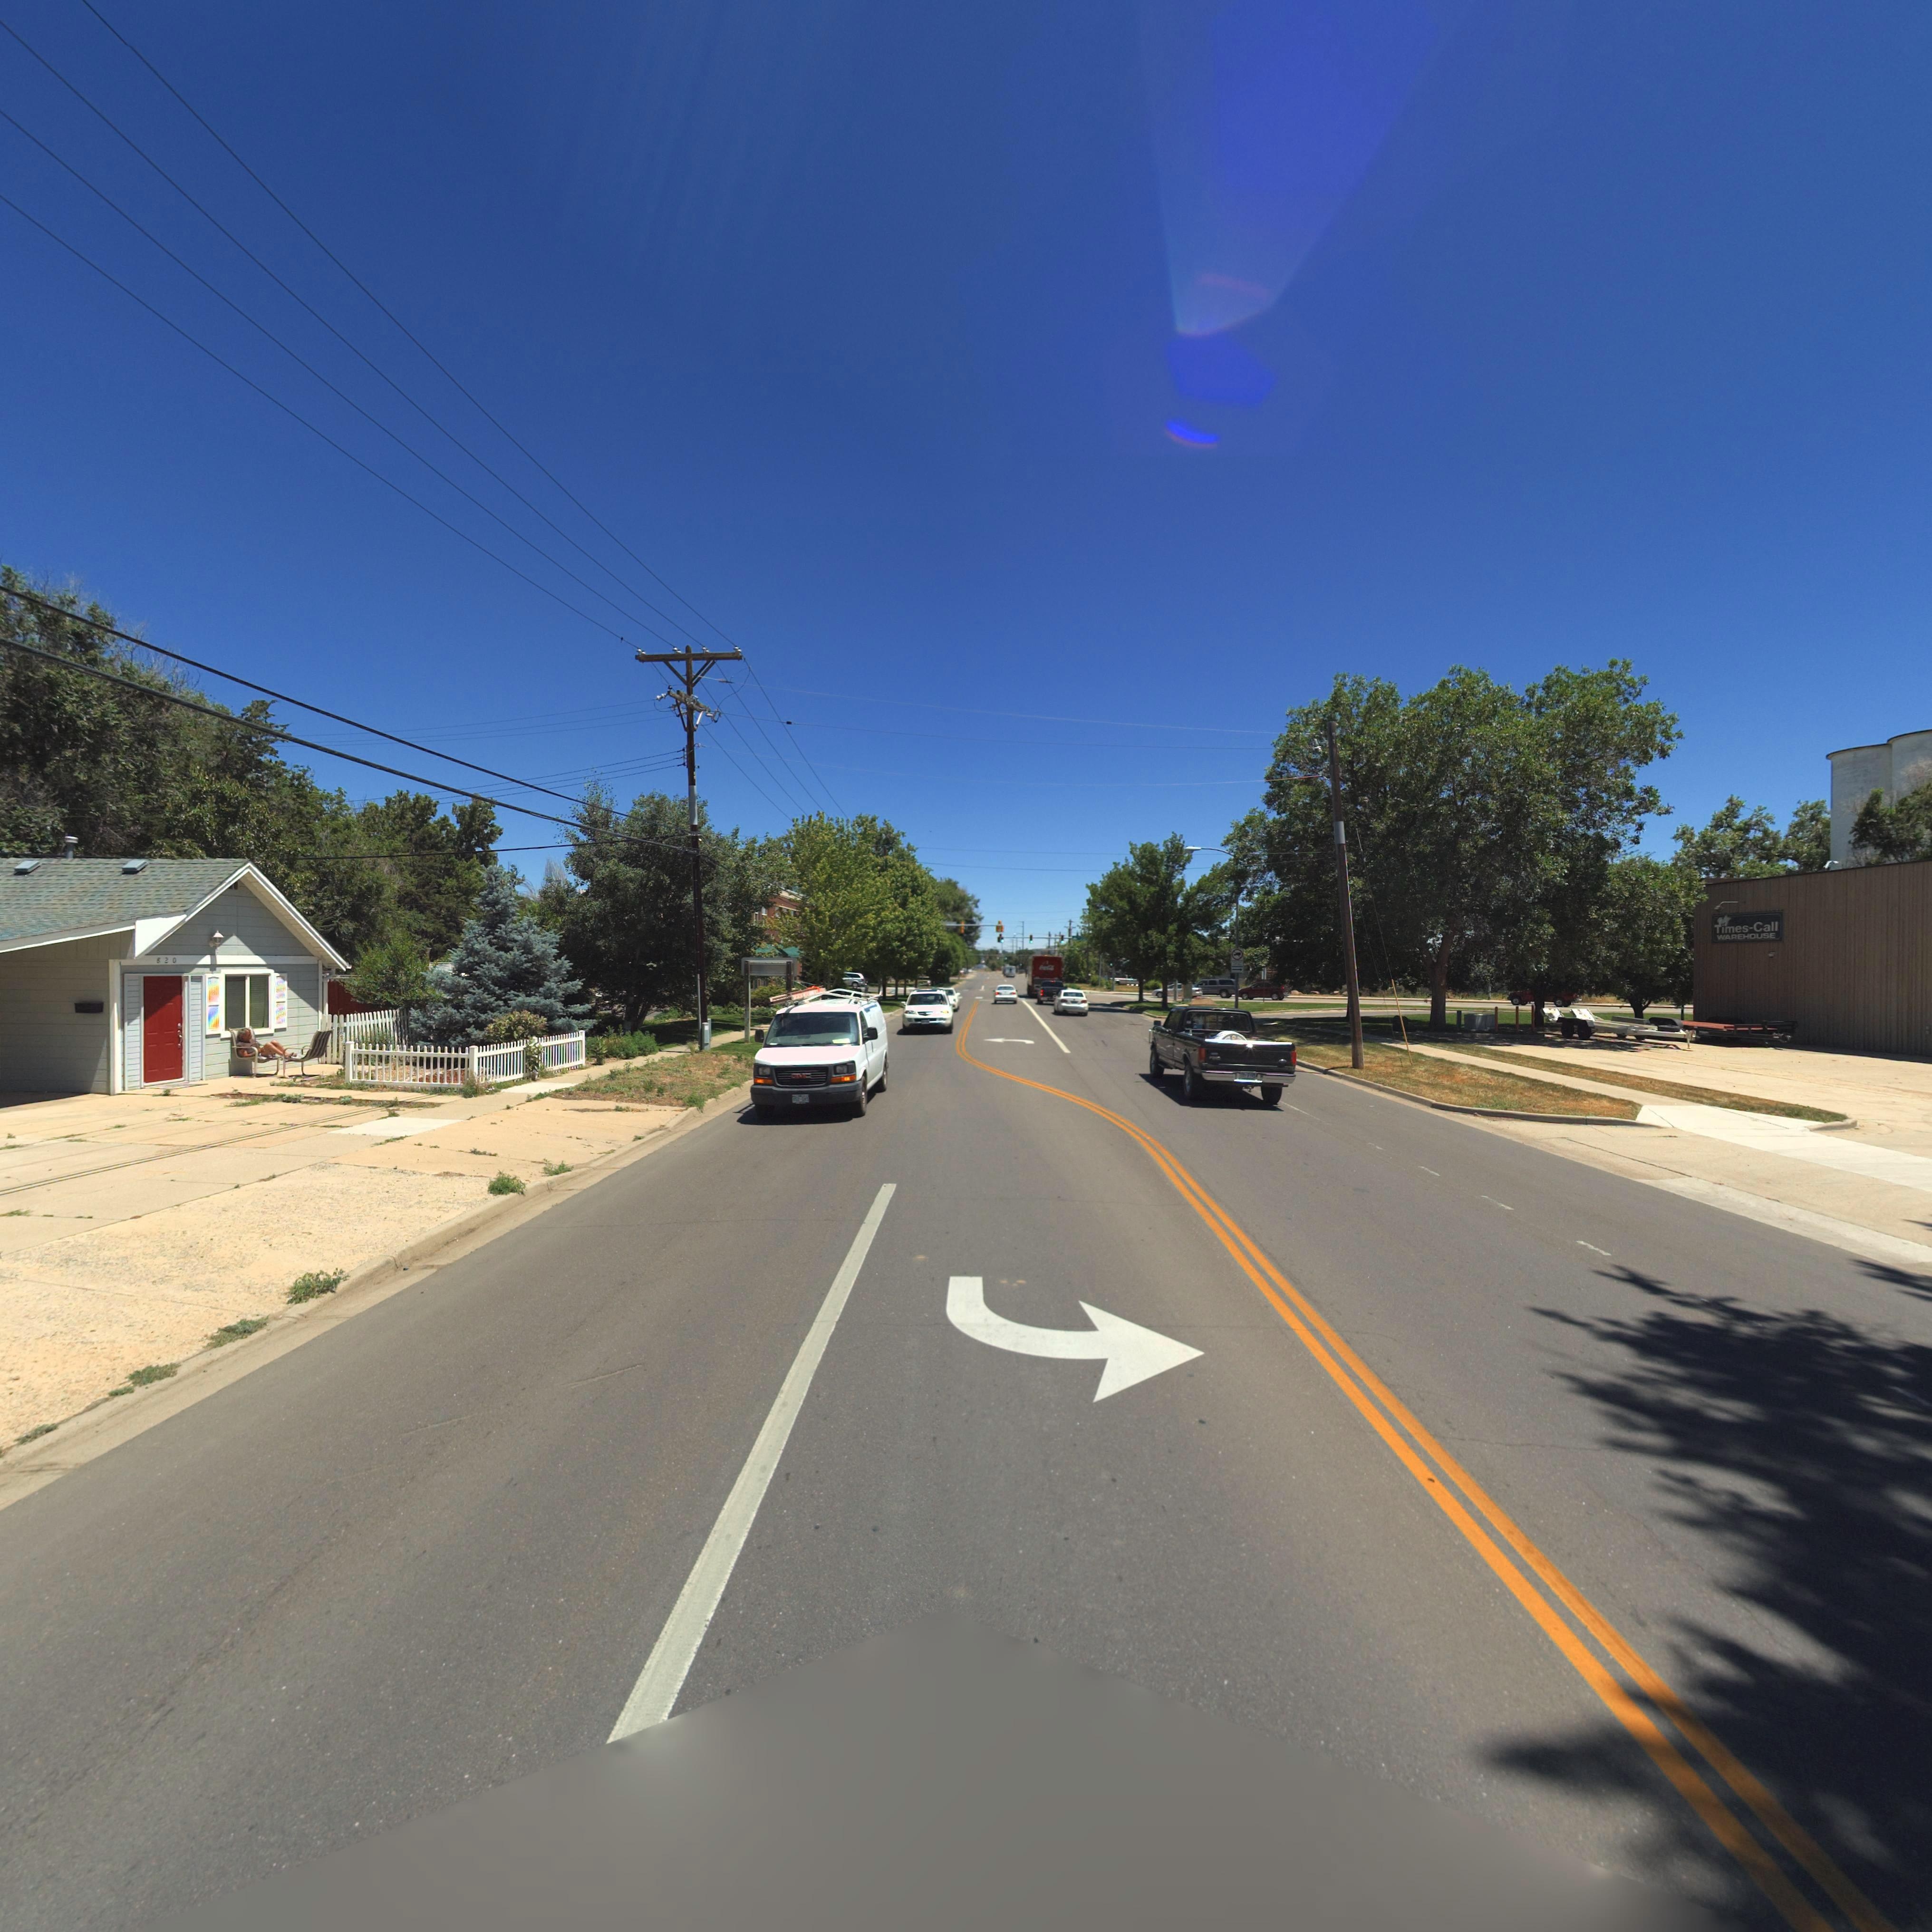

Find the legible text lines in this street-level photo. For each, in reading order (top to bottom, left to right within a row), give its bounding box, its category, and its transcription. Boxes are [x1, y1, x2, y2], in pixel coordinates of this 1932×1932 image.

[1713, 920, 1778, 934] BusinessName: Times-Call
[1716, 932, 1775, 940] BusinessName: WAREHOUSE
[155, 956, 177, 964] StreetNumber: 820